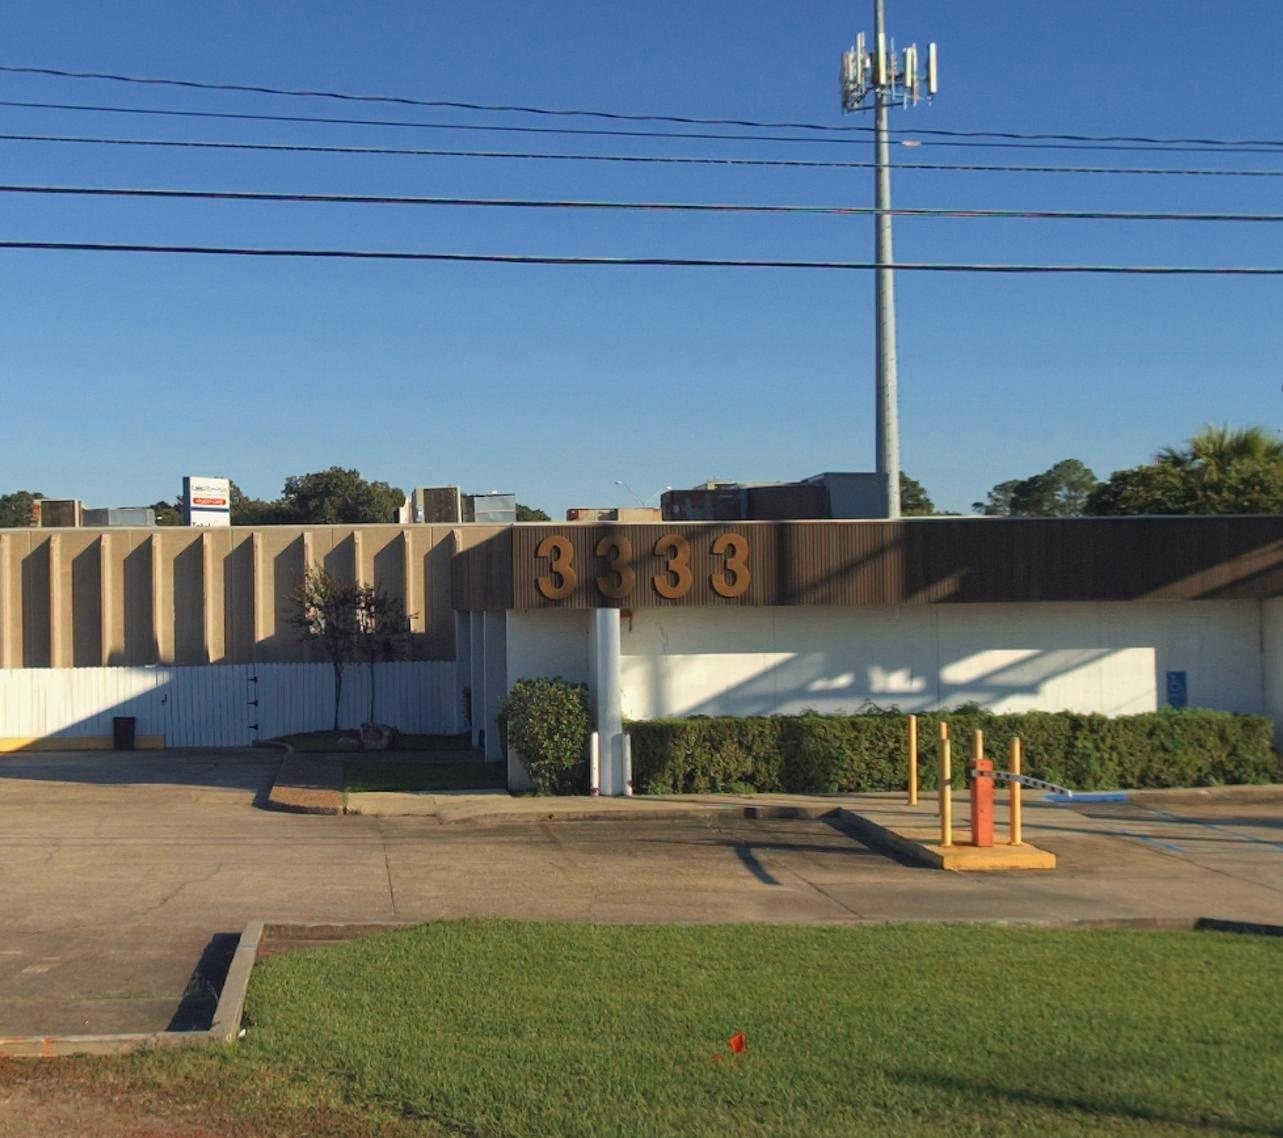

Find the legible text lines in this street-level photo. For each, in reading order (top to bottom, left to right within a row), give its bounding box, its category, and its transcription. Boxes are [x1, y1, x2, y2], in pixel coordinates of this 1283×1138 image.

[535, 531, 752, 602] StreetNumber: 3333